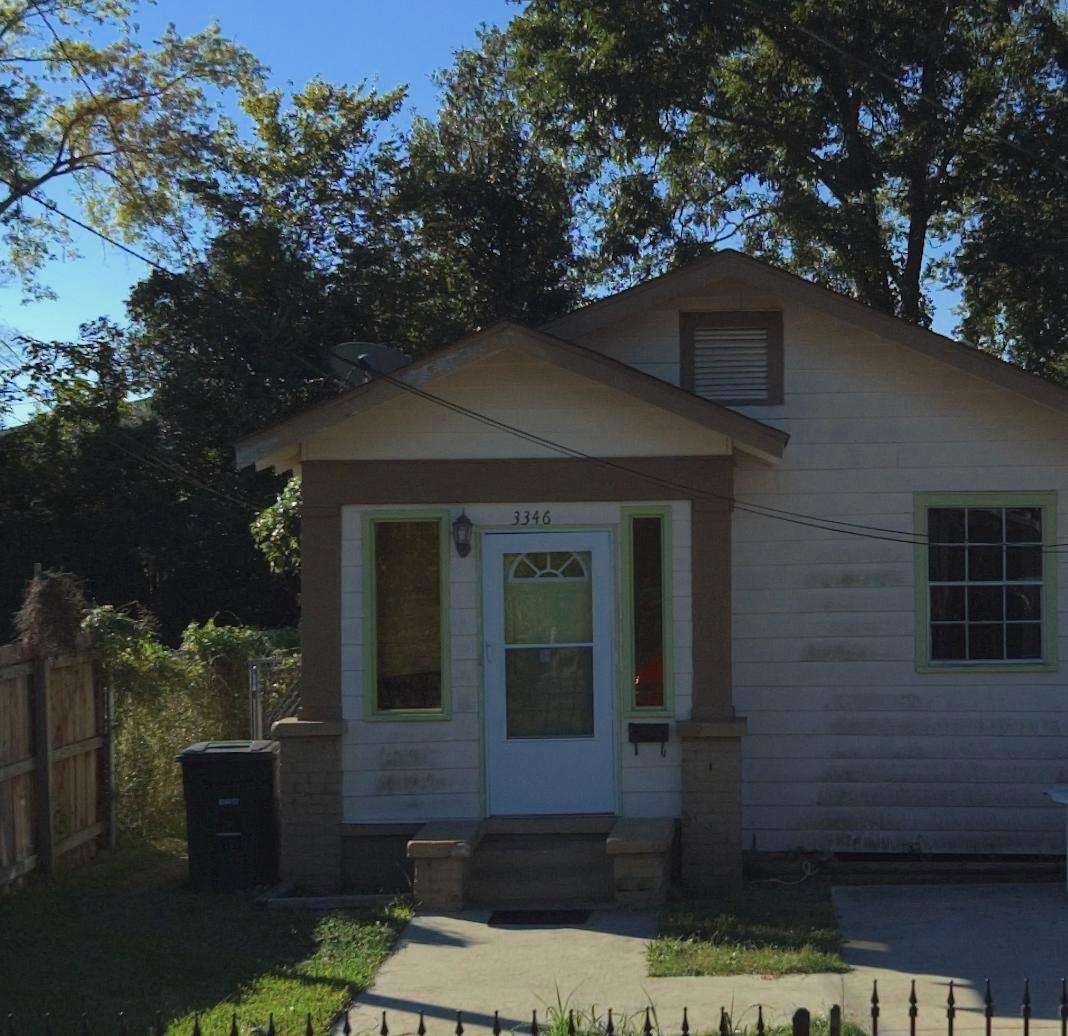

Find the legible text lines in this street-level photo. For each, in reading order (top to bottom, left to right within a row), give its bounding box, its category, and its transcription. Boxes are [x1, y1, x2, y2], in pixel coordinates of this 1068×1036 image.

[510, 508, 553, 527] StreetNumber: 3346